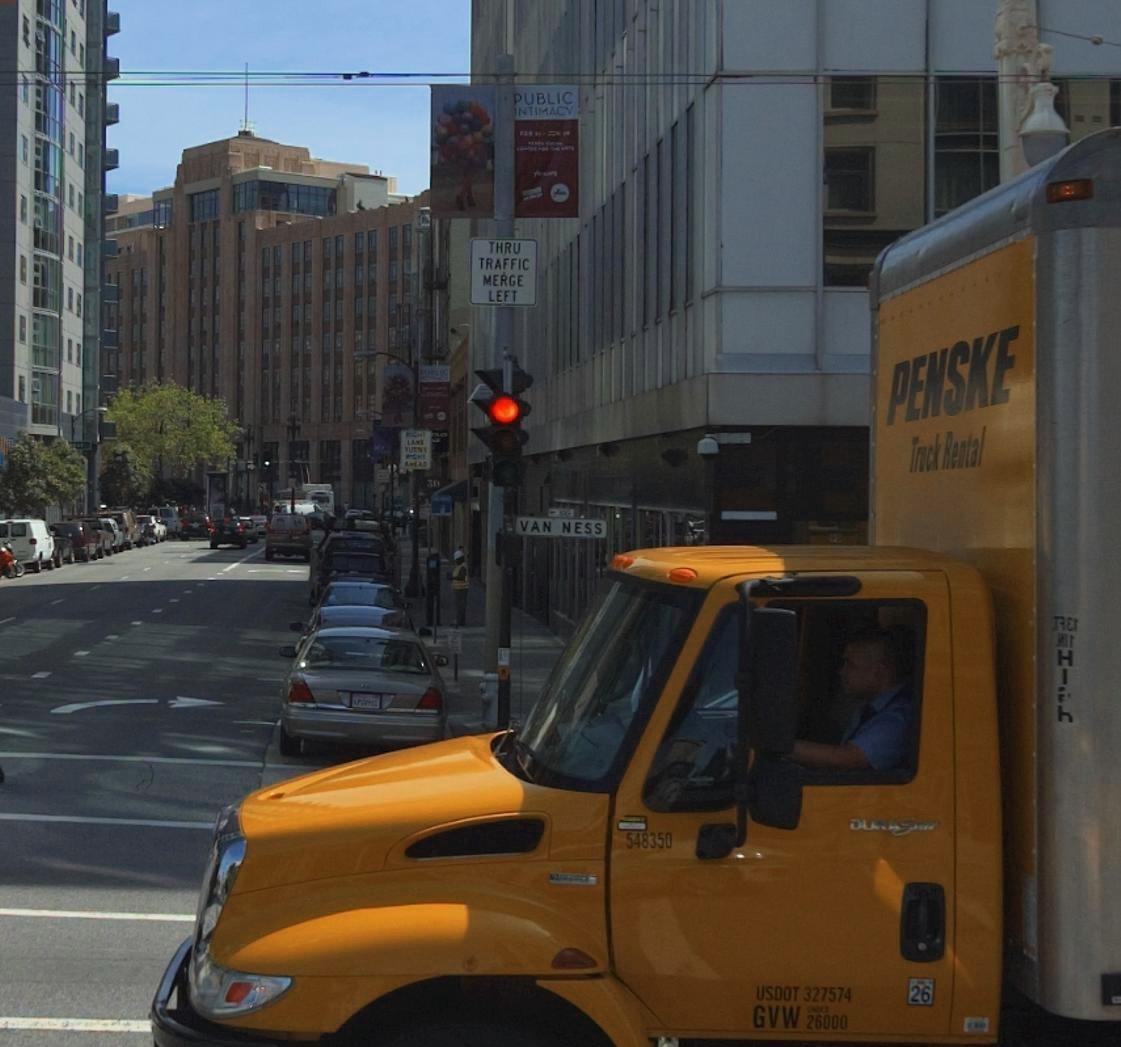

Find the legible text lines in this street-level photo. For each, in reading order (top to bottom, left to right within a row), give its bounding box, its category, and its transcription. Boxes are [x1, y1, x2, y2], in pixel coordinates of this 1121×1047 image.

[513, 91, 575, 106] None: PUBLIC
[514, 106, 574, 117] None: INTIMACY
[484, 240, 524, 255] None: THRU
[476, 256, 530, 272] None: TRAFFIC
[481, 273, 524, 288] None: MERGE
[486, 289, 518, 303] None: LEFT
[881, 316, 1025, 430] None: PENSKE
[898, 417, 1003, 484] None: Truck Rental
[549, 508, 571, 515] StreetNumberRange: <-100
[518, 519, 604, 535] StreetName: VAN NESS
[1055, 648, 1076, 723] None: H***
[848, 814, 944, 833] None: DURAS***
[623, 831, 673, 850] None: 548350
[751, 983, 855, 1002] None: USDOT 32754
[908, 984, 932, 1004] None: 26
[751, 1003, 851, 1032] None: GVW 26000